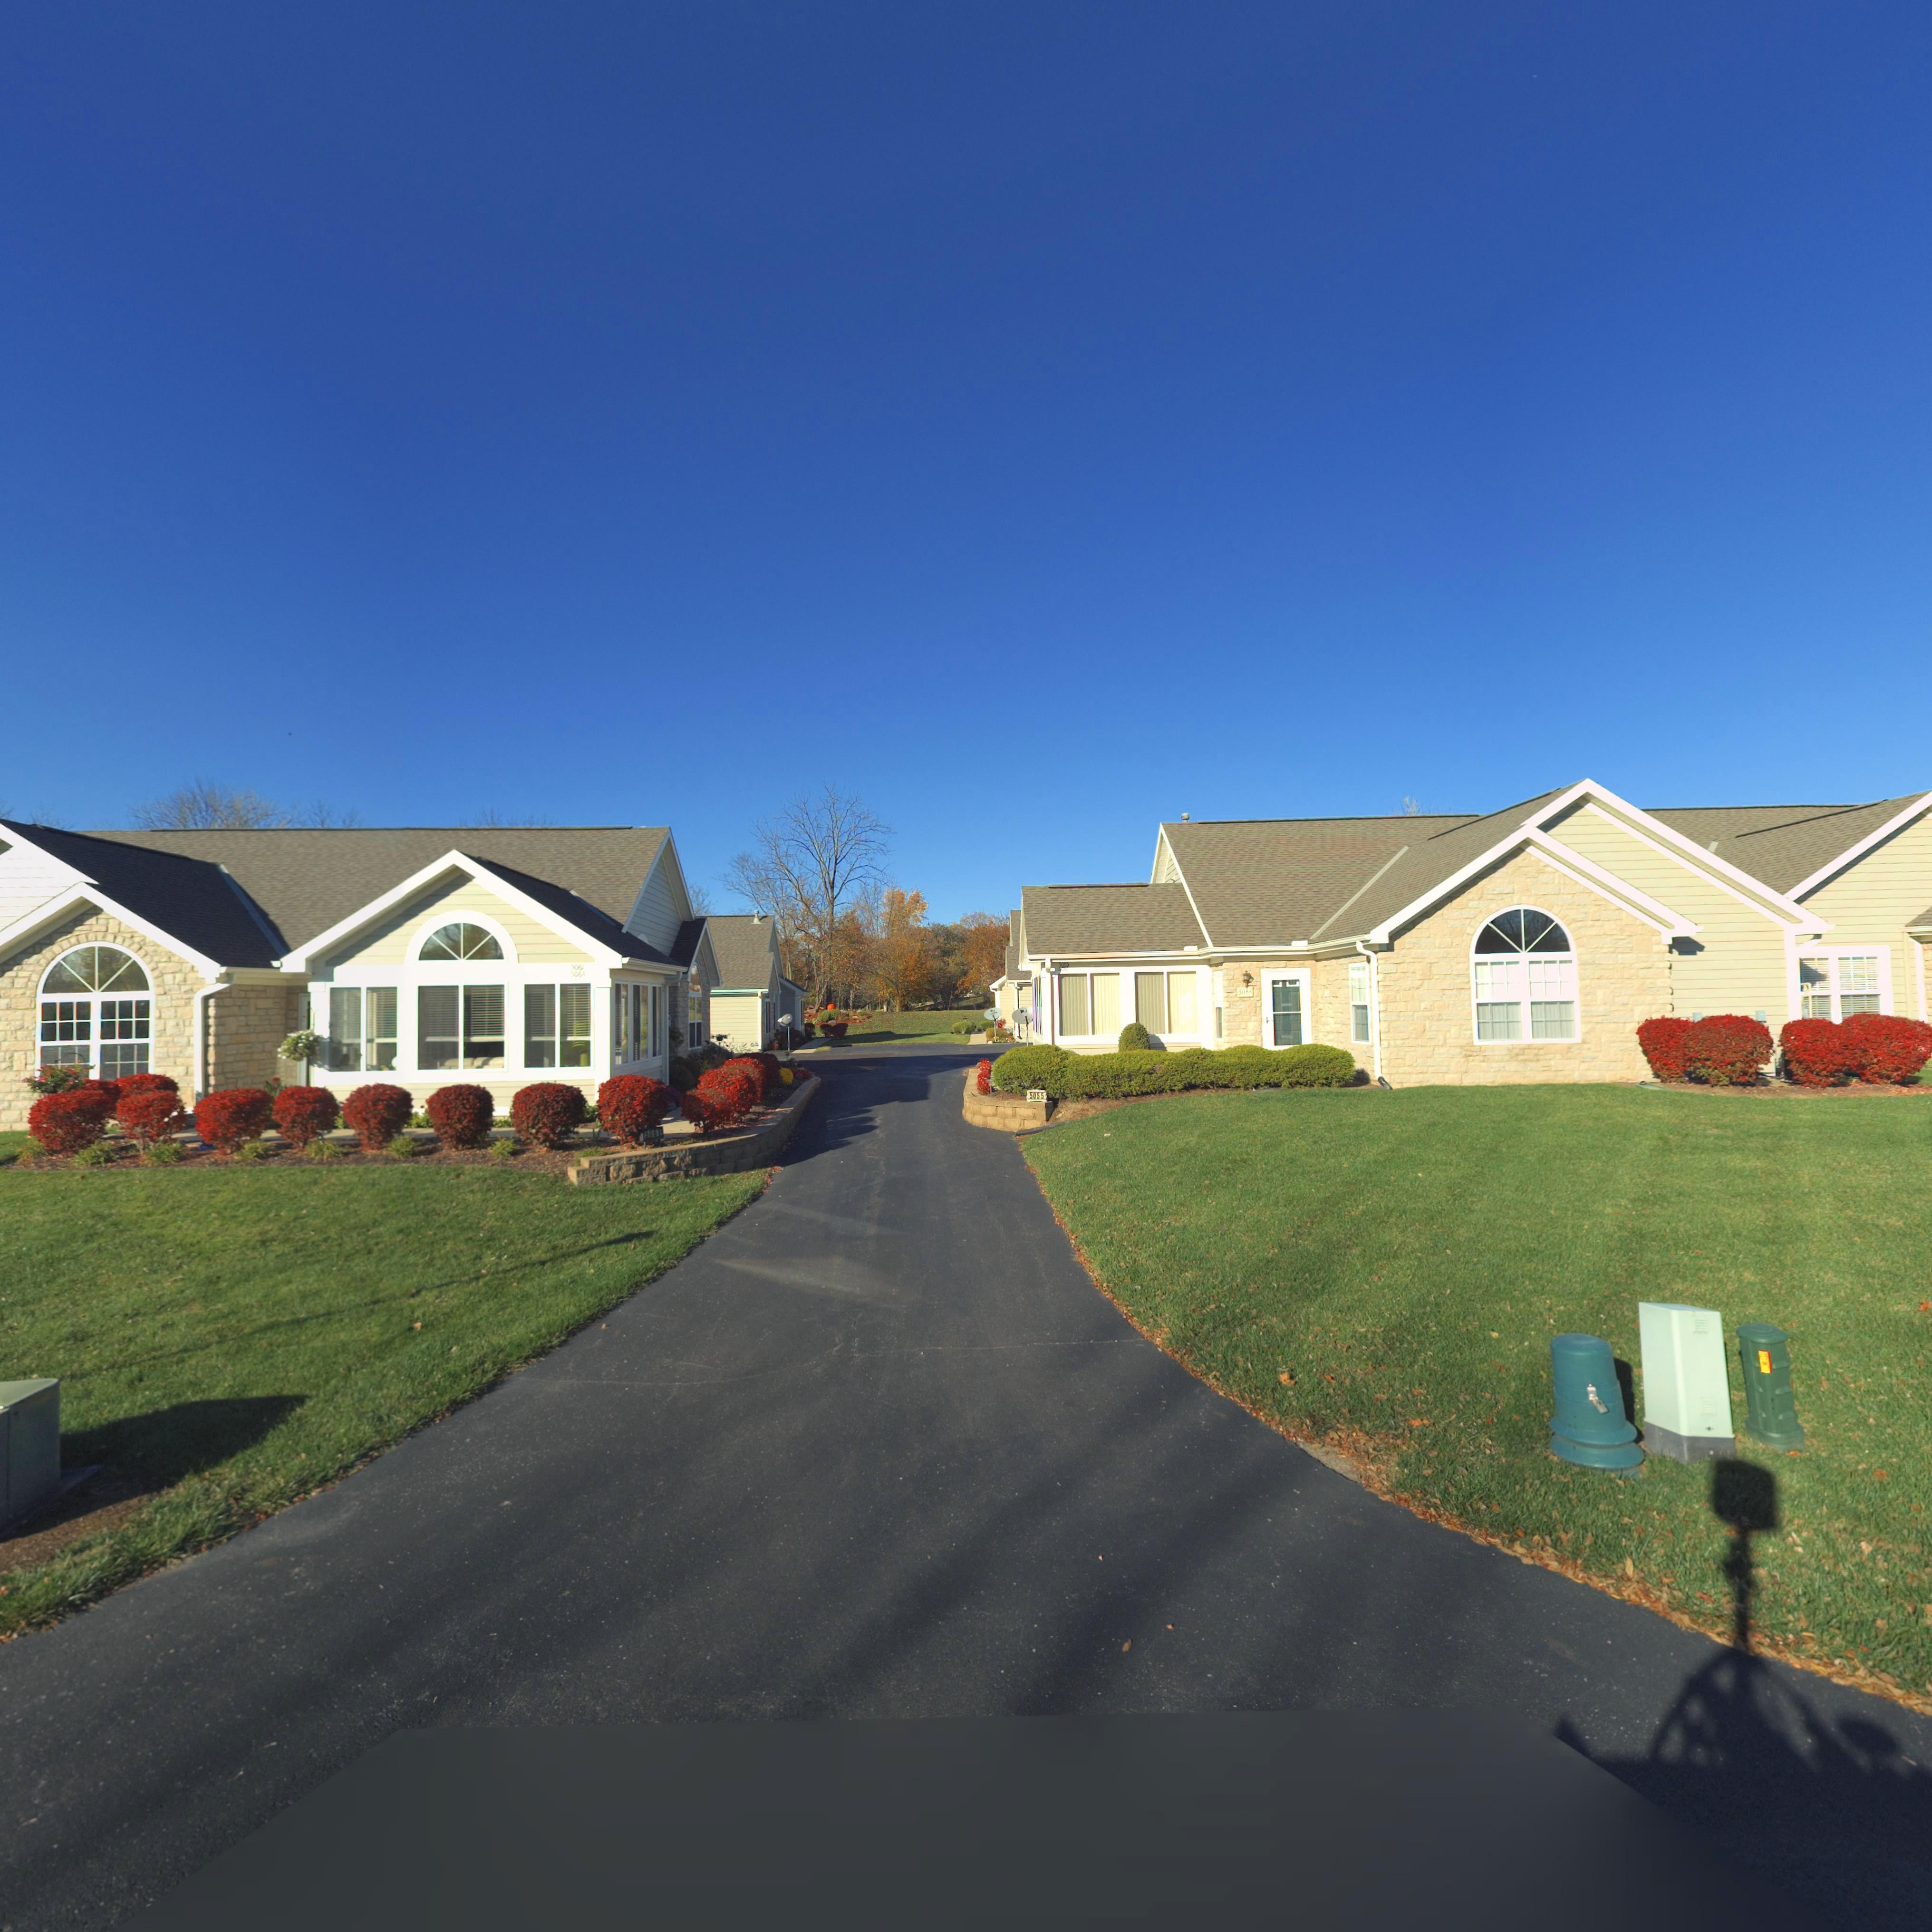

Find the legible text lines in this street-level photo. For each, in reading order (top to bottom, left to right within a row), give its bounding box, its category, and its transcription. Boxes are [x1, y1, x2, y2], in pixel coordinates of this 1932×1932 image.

[1029, 1092, 1045, 1100] StreetNumber: 5055
[645, 1129, 661, 1139] StreetNumber: 5061